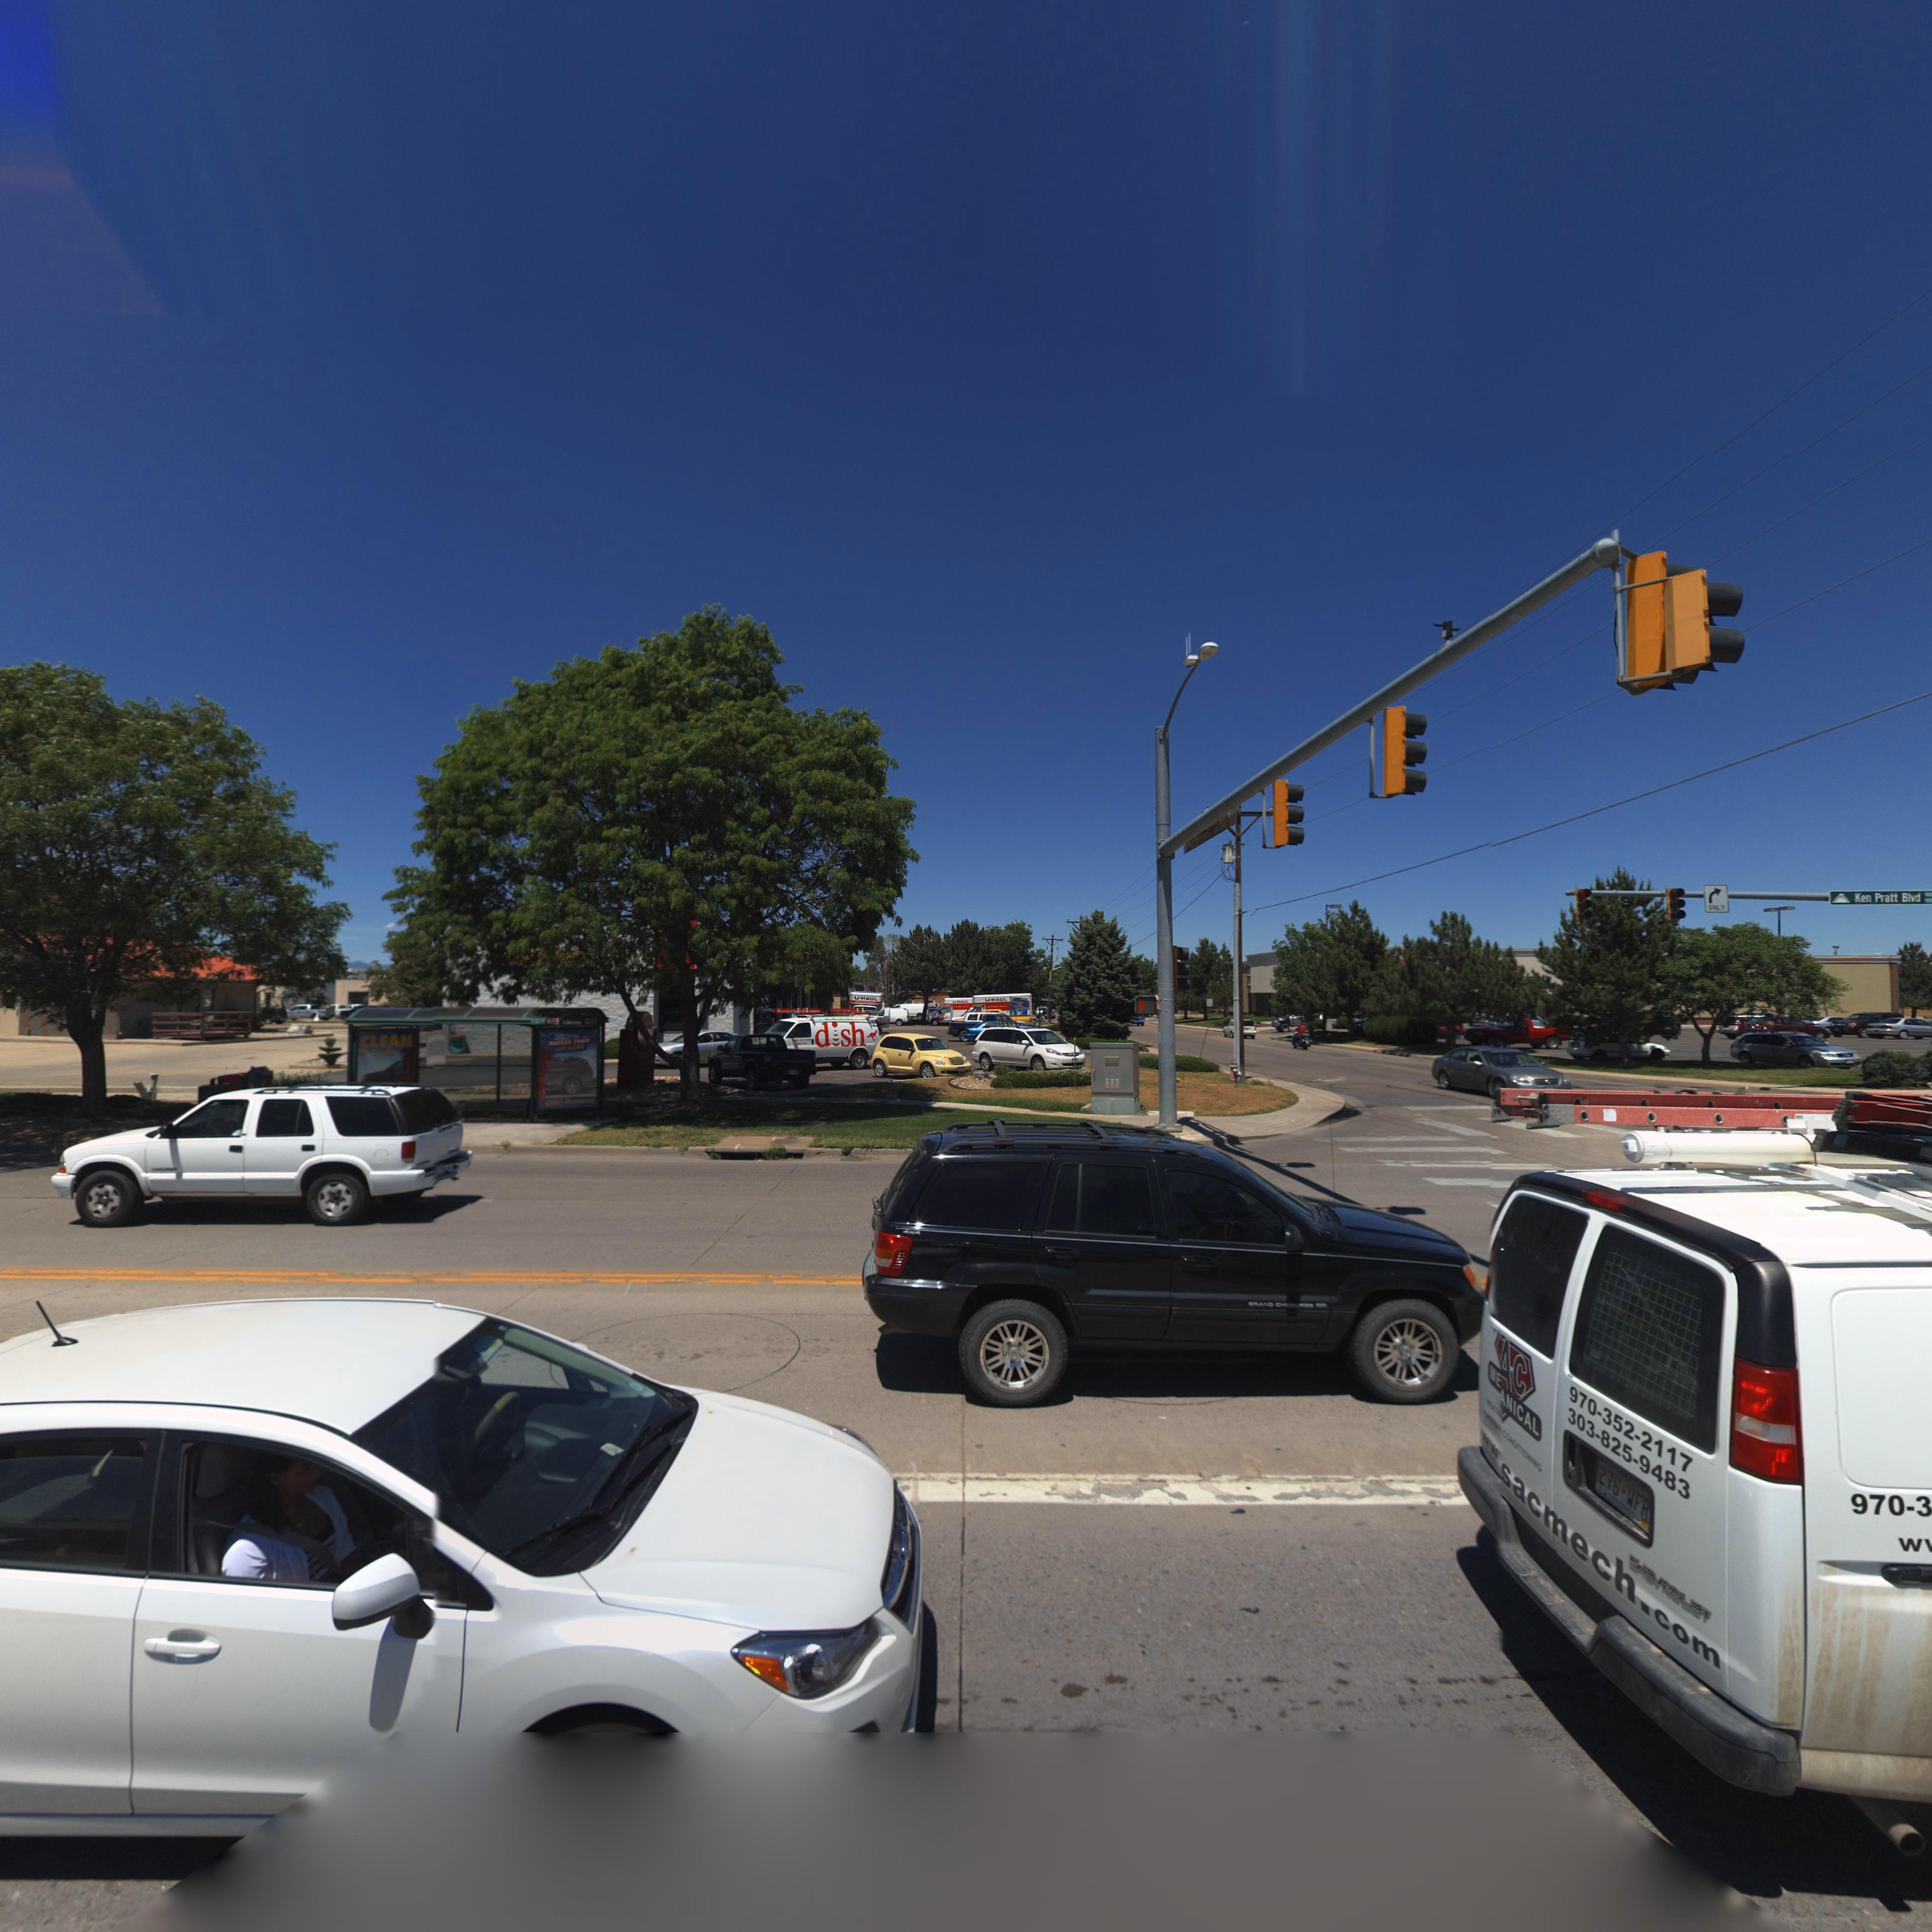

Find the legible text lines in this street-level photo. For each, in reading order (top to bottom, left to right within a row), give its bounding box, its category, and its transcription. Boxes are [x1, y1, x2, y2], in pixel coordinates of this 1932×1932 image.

[1854, 892, 1921, 902] StreetName: Ken Pratt Blvd